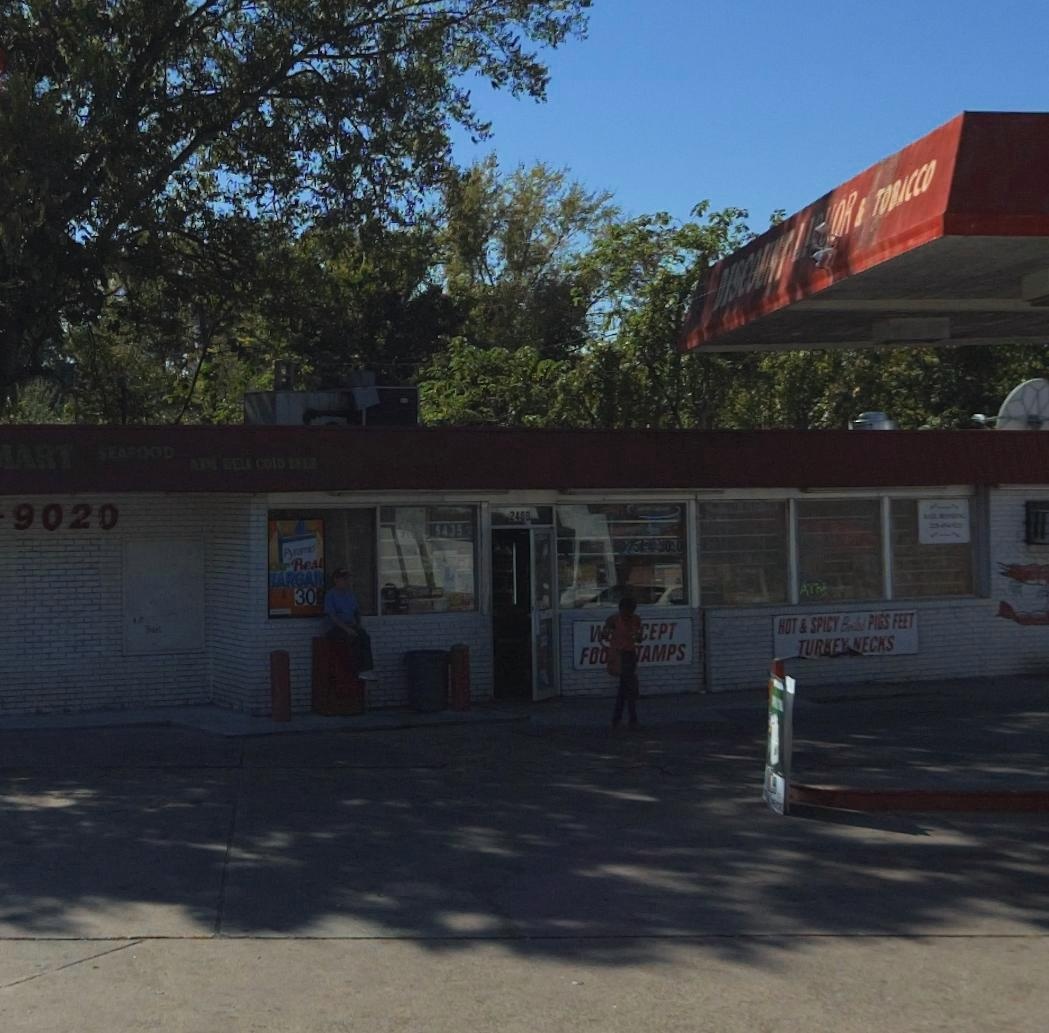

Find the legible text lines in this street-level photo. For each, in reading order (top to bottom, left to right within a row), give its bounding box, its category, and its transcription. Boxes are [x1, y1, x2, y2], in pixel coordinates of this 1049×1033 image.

[837, 154, 939, 239] None: R * TOBACCO
[12, 440, 78, 472] BusinessName: ART
[95, 443, 177, 462] None: SEAFOOD
[218, 453, 289, 474] None: DEL* CO*D
[12, 501, 121, 532] None: 9020
[508, 509, 532, 523] StreetNumber: 240*
[439, 522, 465, 539] None: 435
[281, 540, 318, 563] None: Pyrarrid
[632, 538, 641, 554] None: 5
[662, 537, 672, 554] None: 0
[292, 554, 324, 573] None: Real
[273, 568, 321, 589] None: ARGAI
[294, 586, 318, 608] None: 30
[647, 620, 680, 641] None: EPT
[775, 613, 852, 637] None: HOT & SPICY B
[866, 610, 917, 633] None: PIGS FEET
[576, 641, 689, 669] None: FO*****AMPS
[796, 633, 898, 656] None: TUR*****ECKS